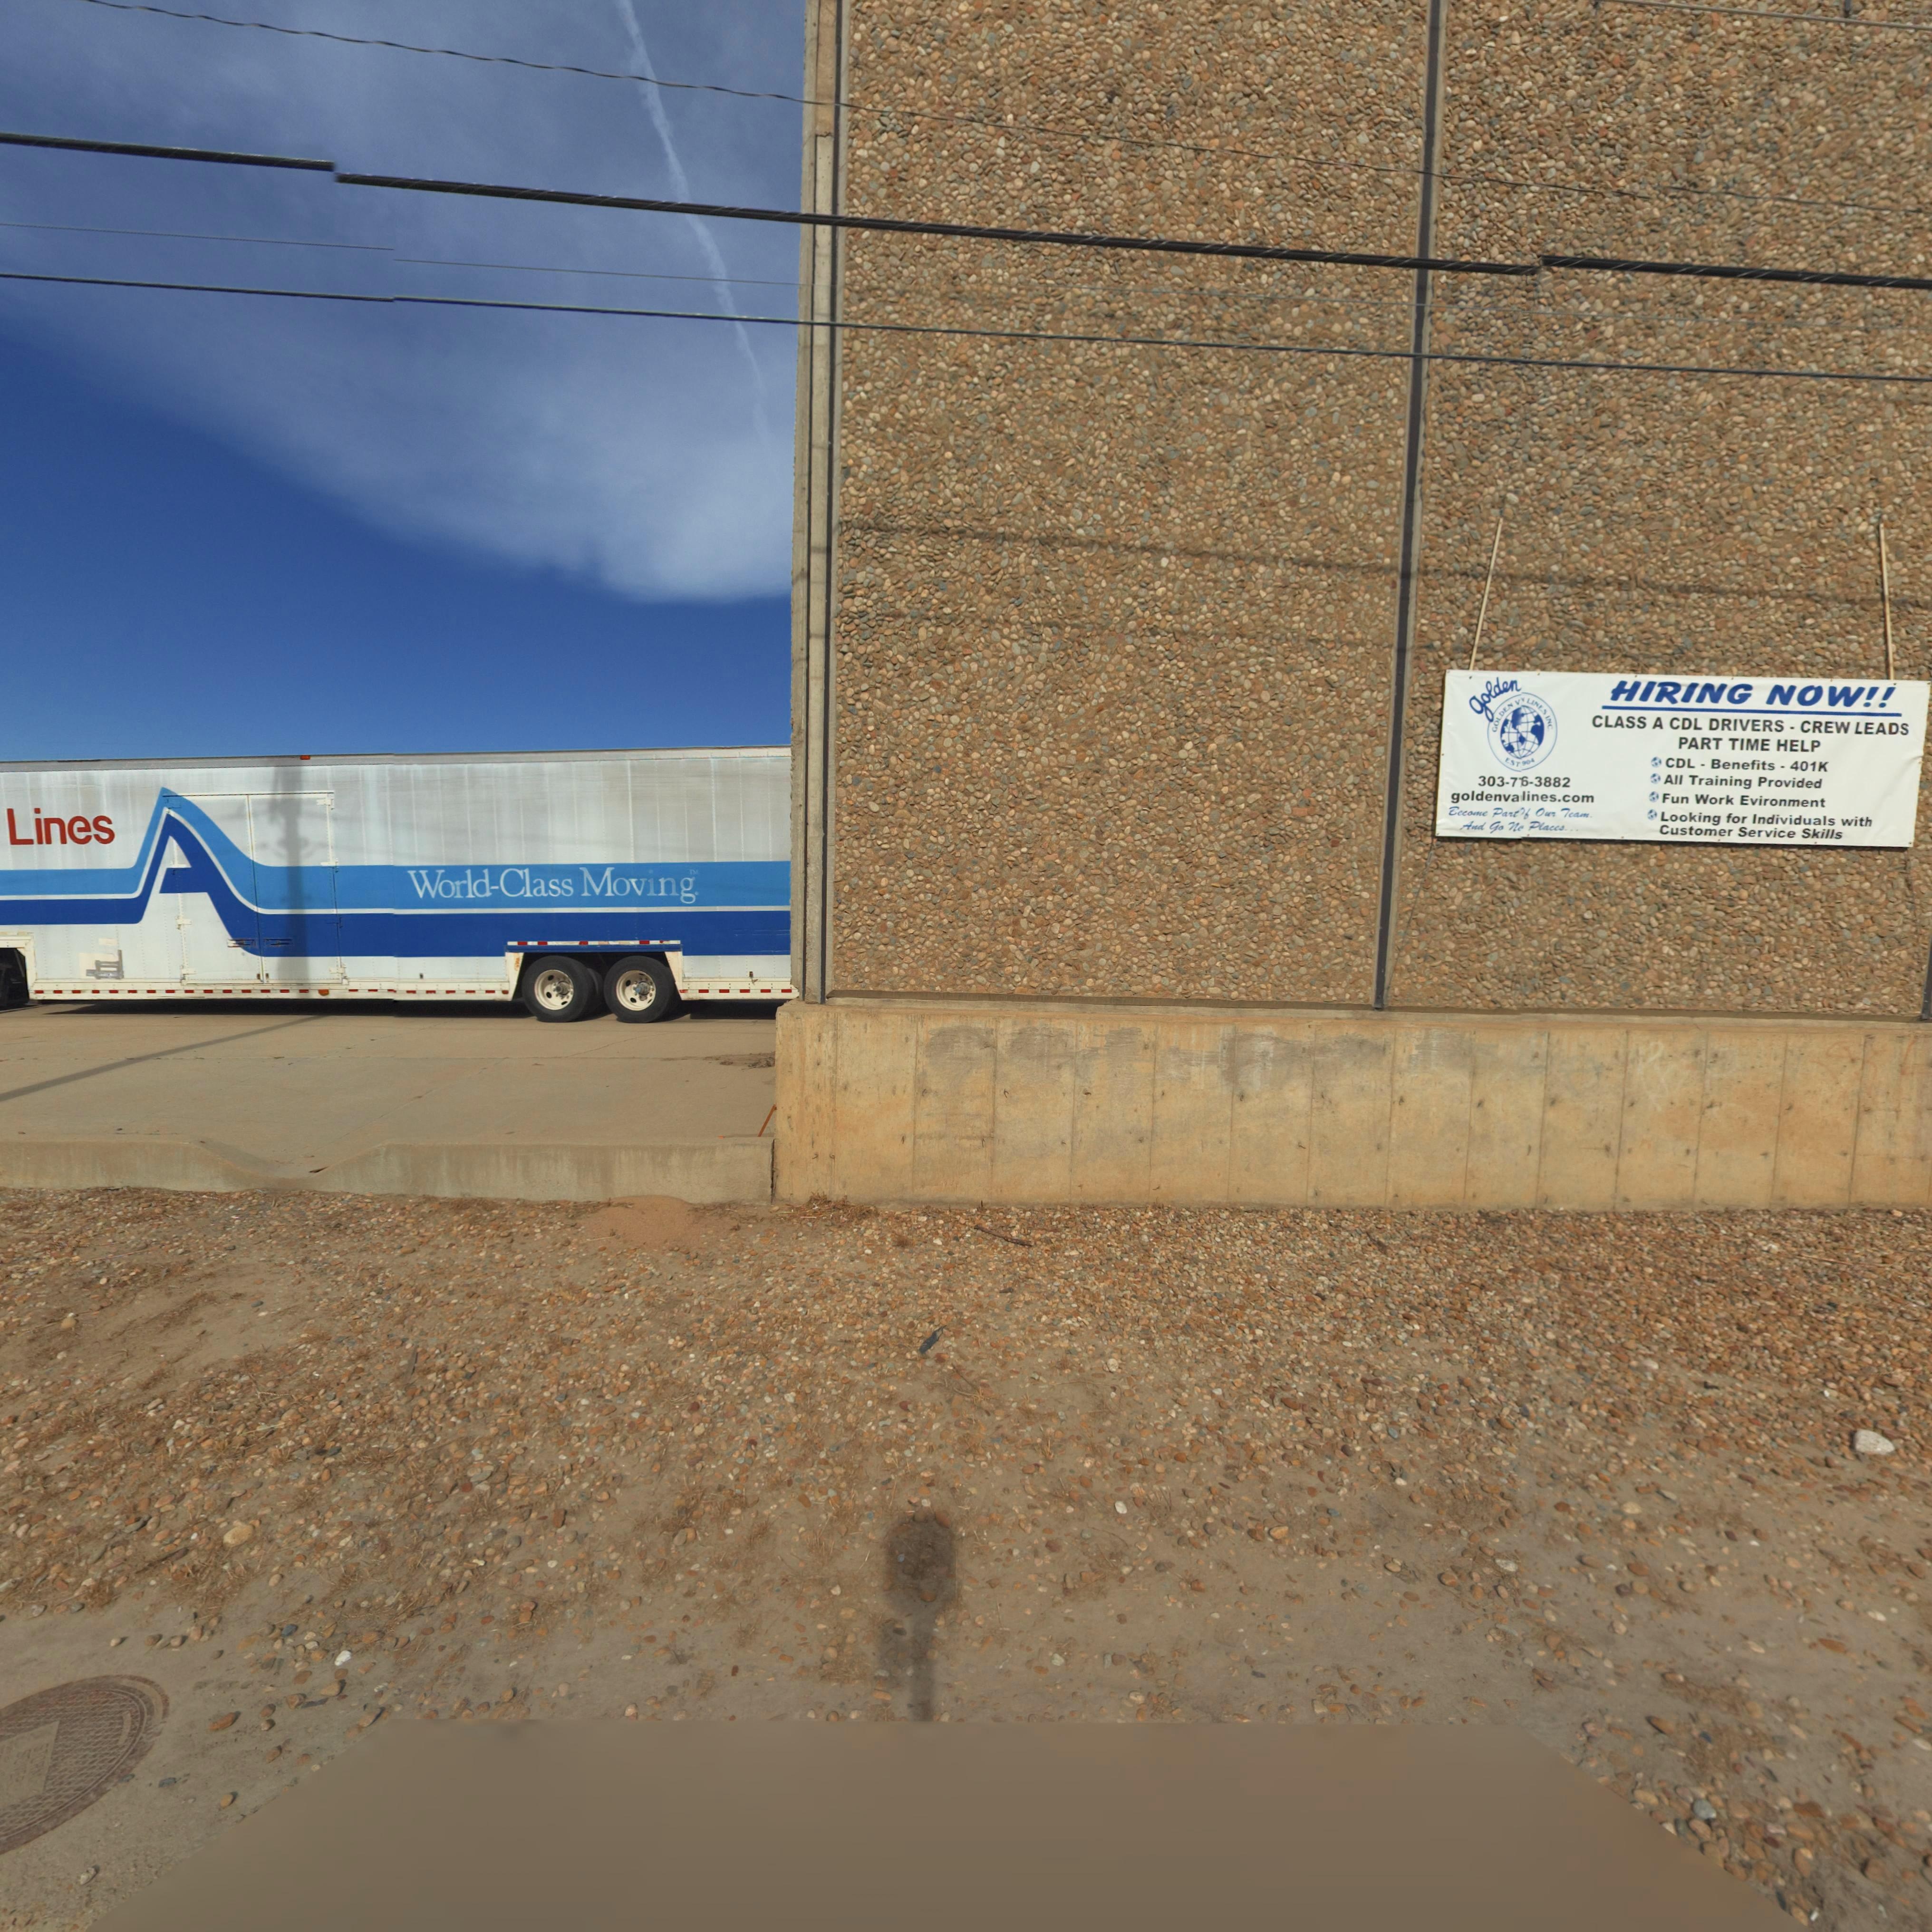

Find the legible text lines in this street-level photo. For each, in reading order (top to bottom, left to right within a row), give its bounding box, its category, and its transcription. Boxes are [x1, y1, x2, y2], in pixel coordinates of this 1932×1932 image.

[1467, 675, 1523, 723] BusinessName: golden
[1490, 696, 1554, 732] BusinessName: GOLDEN VV LINES INC